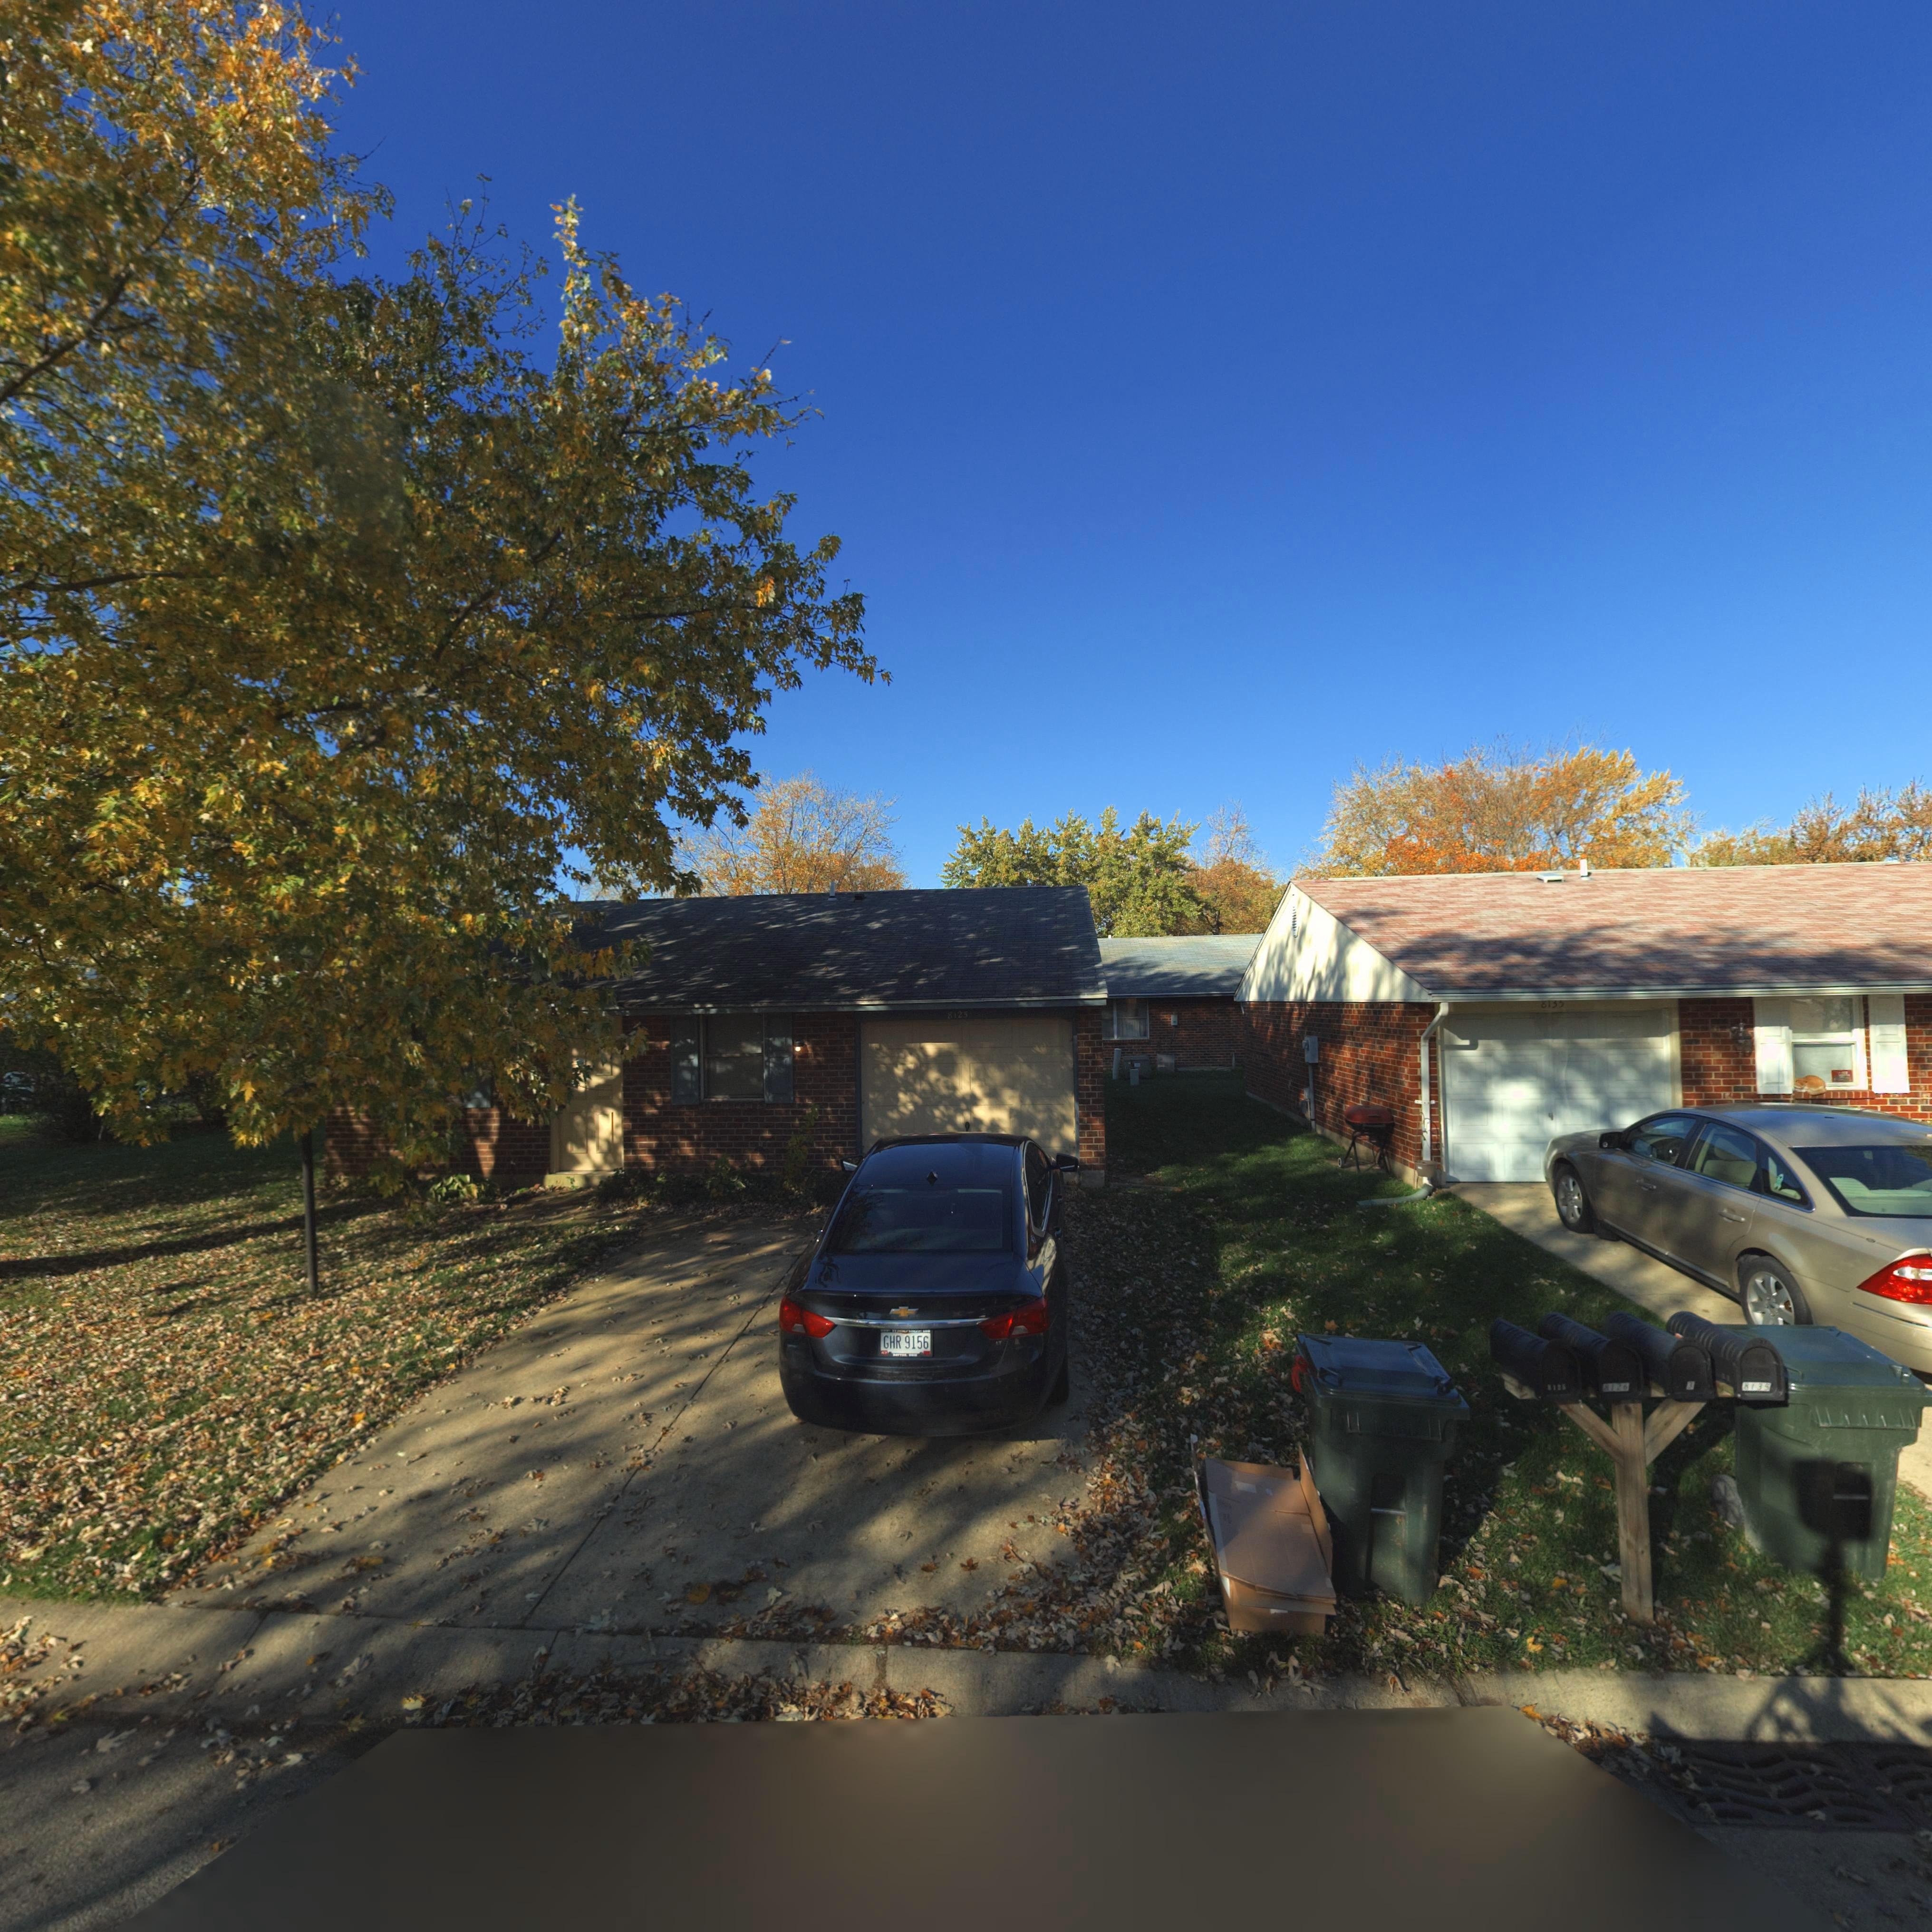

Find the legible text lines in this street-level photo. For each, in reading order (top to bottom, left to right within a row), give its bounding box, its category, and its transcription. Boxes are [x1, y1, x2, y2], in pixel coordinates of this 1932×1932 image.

[947, 1010, 969, 1021] StreetNumber: 8125
[1546, 1383, 1567, 1392] StreetNumber: *12*
[1603, 1382, 1629, 1392] StreetNumber: 8126
[1687, 1381, 1694, 1390] StreetNumber: 3
[1742, 1381, 1772, 1392] StreetNumber: 8135